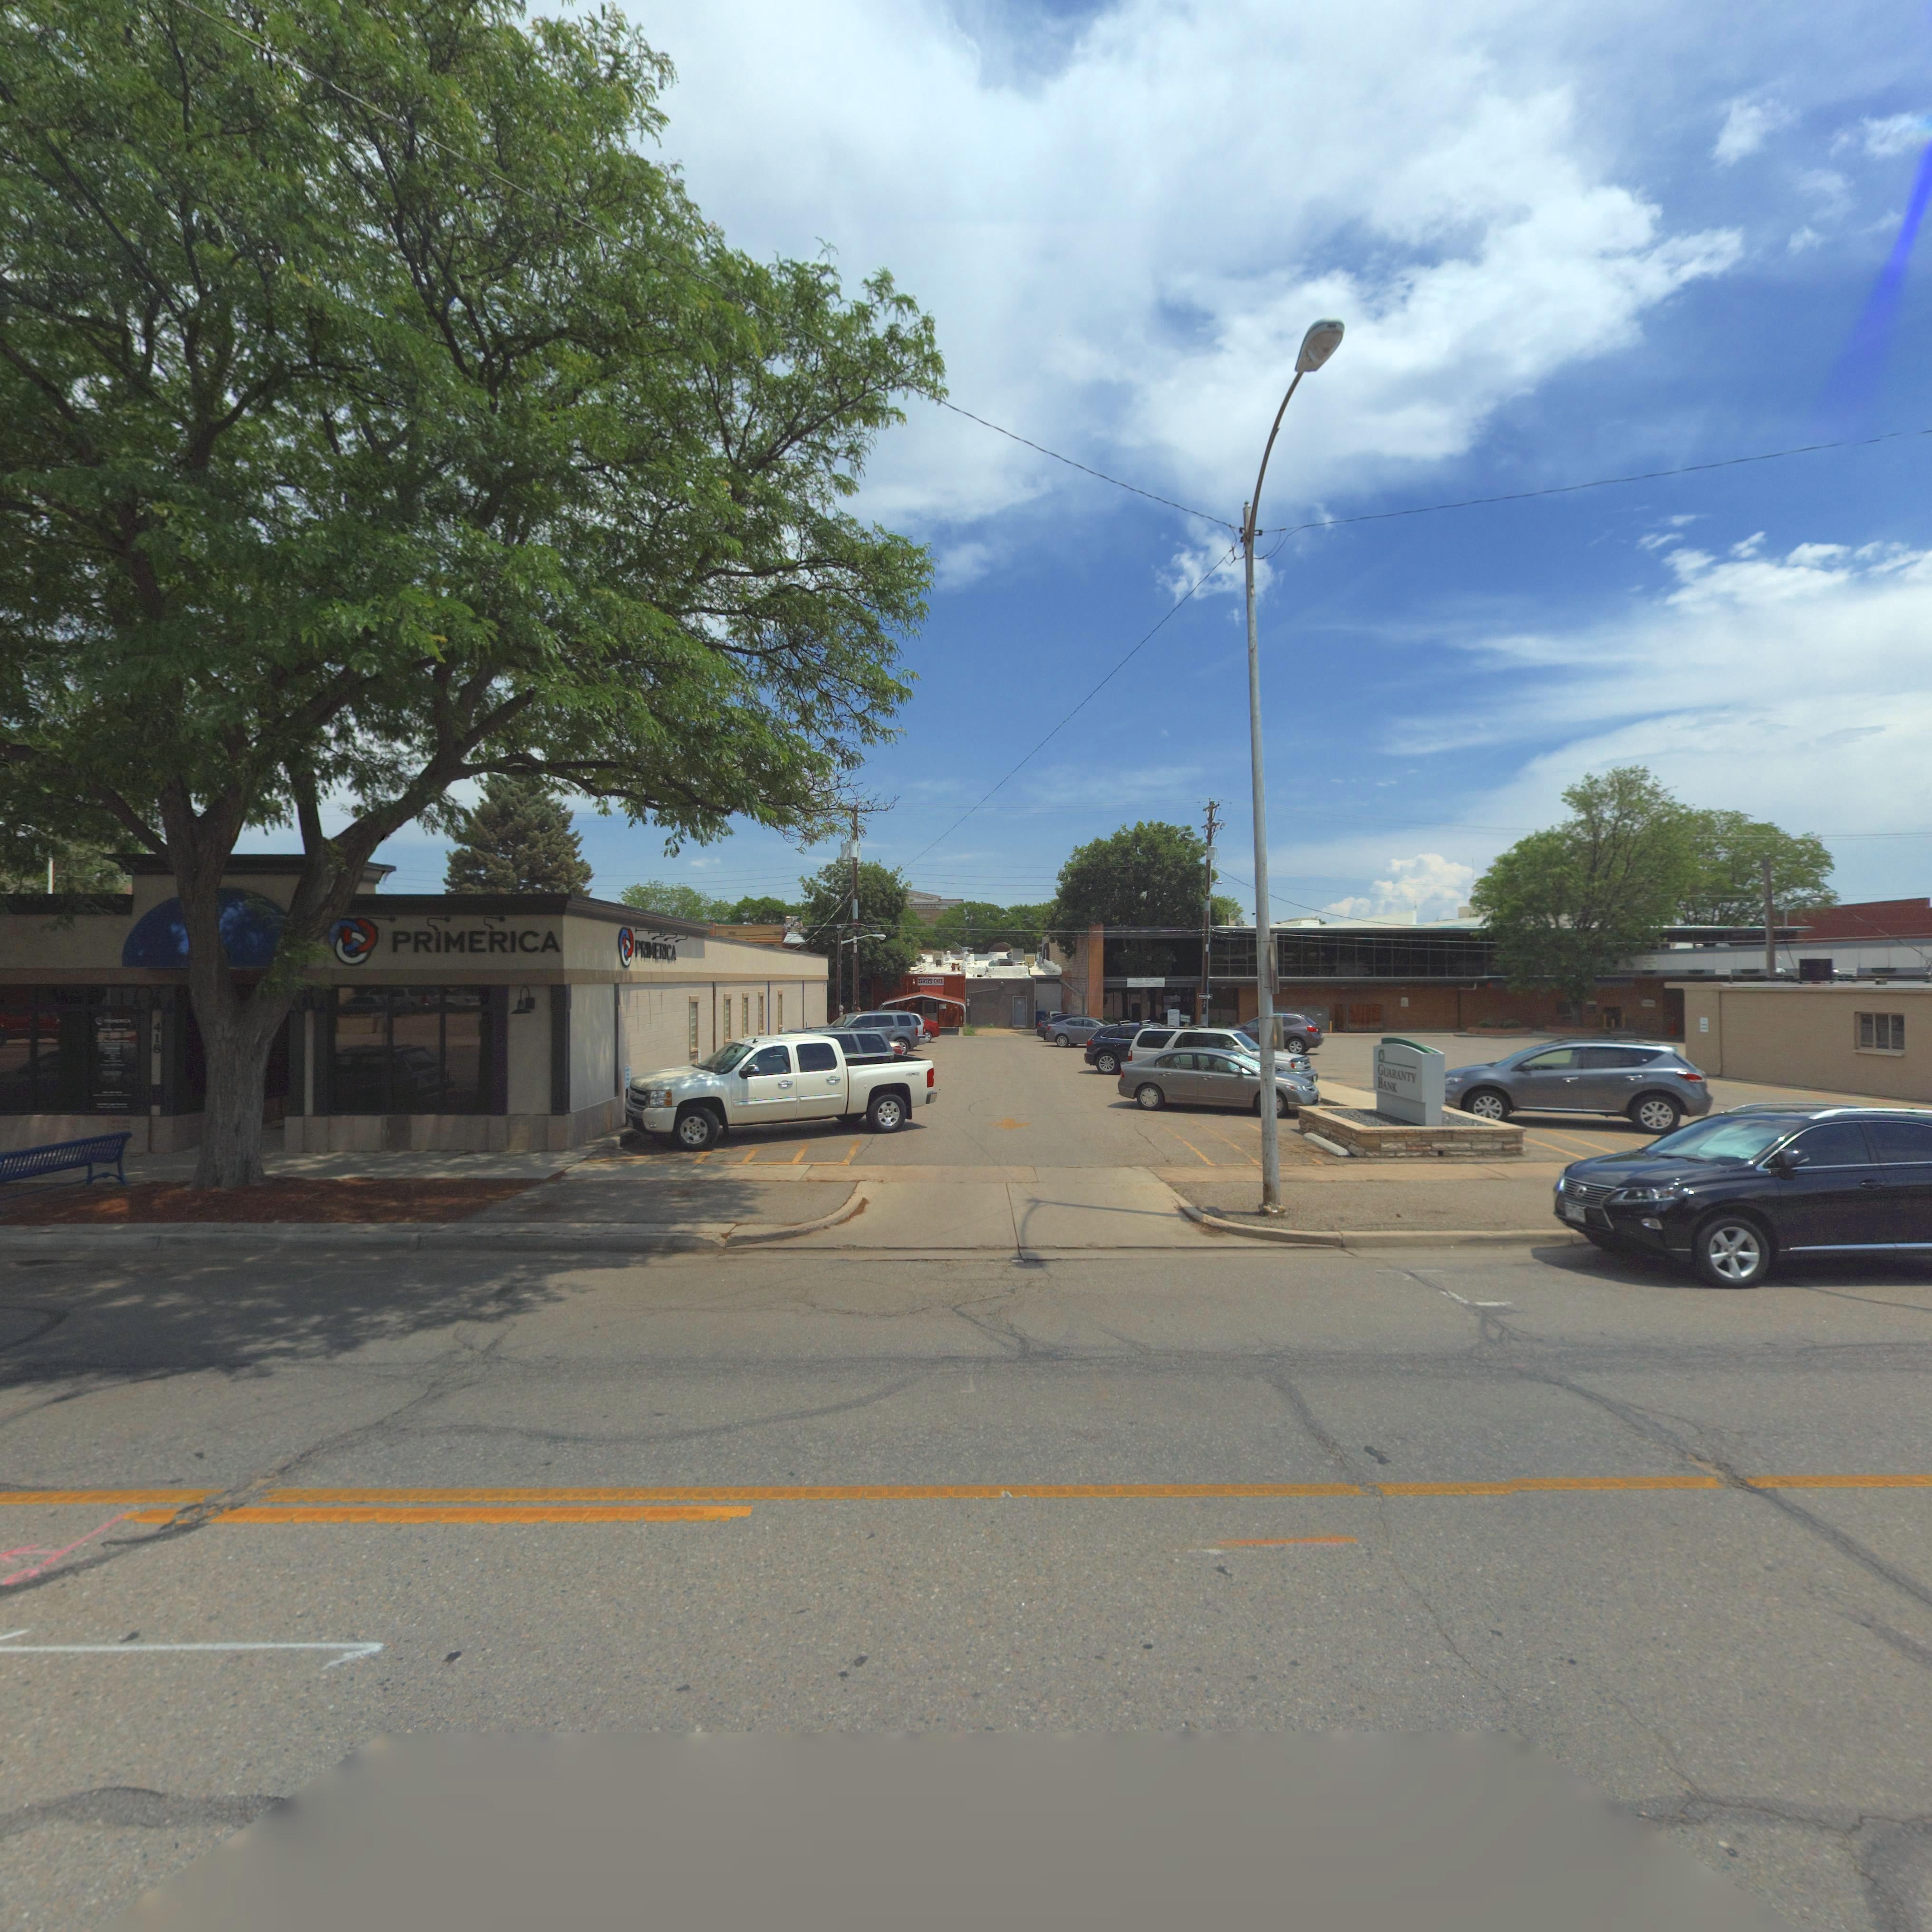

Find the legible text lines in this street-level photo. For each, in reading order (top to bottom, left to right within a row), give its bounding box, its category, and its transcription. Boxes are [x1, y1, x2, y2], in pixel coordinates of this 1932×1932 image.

[392, 929, 562, 953] BusinessName: PRIMERICA
[635, 939, 676, 960] BusinessName: PR**ERICA
[917, 979, 943, 984] BusinessName: JANI*S C***
[153, 1022, 161, 1053] StreetNumber: 418
[1377, 1063, 1417, 1083] BusinessName: GUARANTY
[1377, 1076, 1397, 1092] BusinessName: BANK